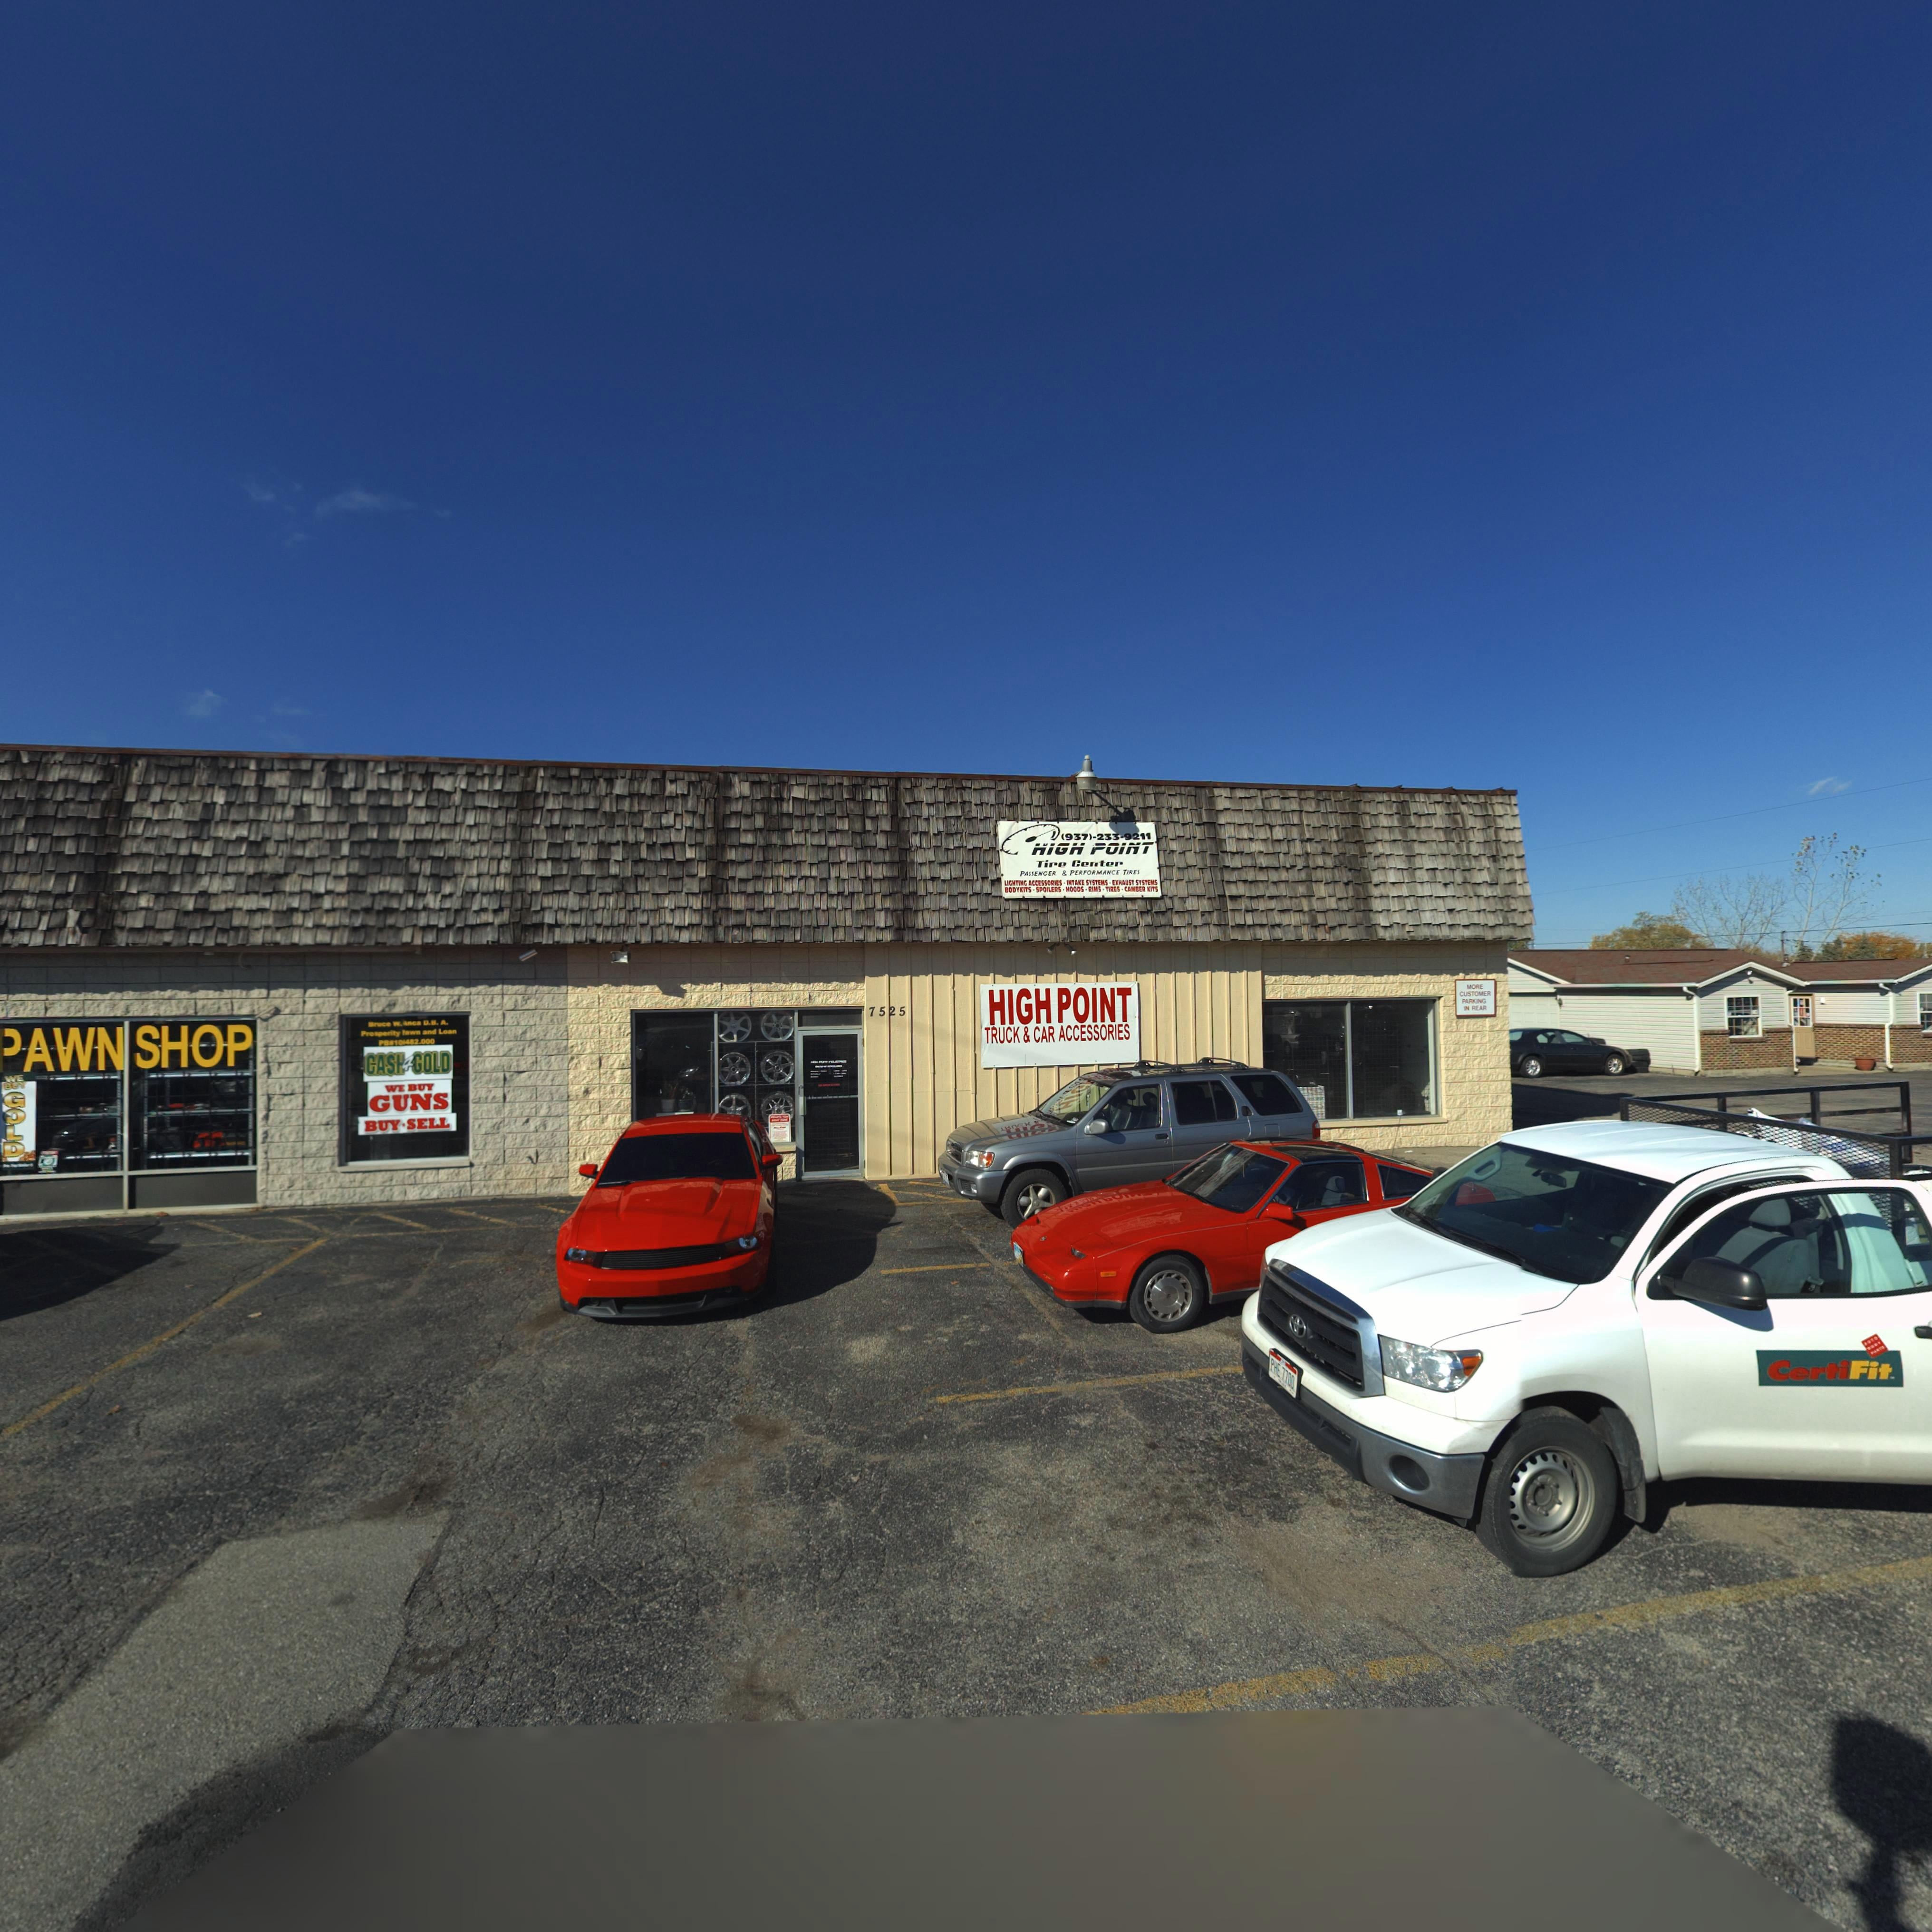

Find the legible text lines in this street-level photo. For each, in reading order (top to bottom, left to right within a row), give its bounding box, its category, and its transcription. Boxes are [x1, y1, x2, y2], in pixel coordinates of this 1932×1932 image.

[1030, 841, 1155, 856] BusinessName: HIGH POINT
[869, 1005, 906, 1017] StreetNumber: 7525
[988, 986, 1133, 1026] BusinessName: HIGH POINT
[363, 1050, 453, 1077] None: CASH4GOLD